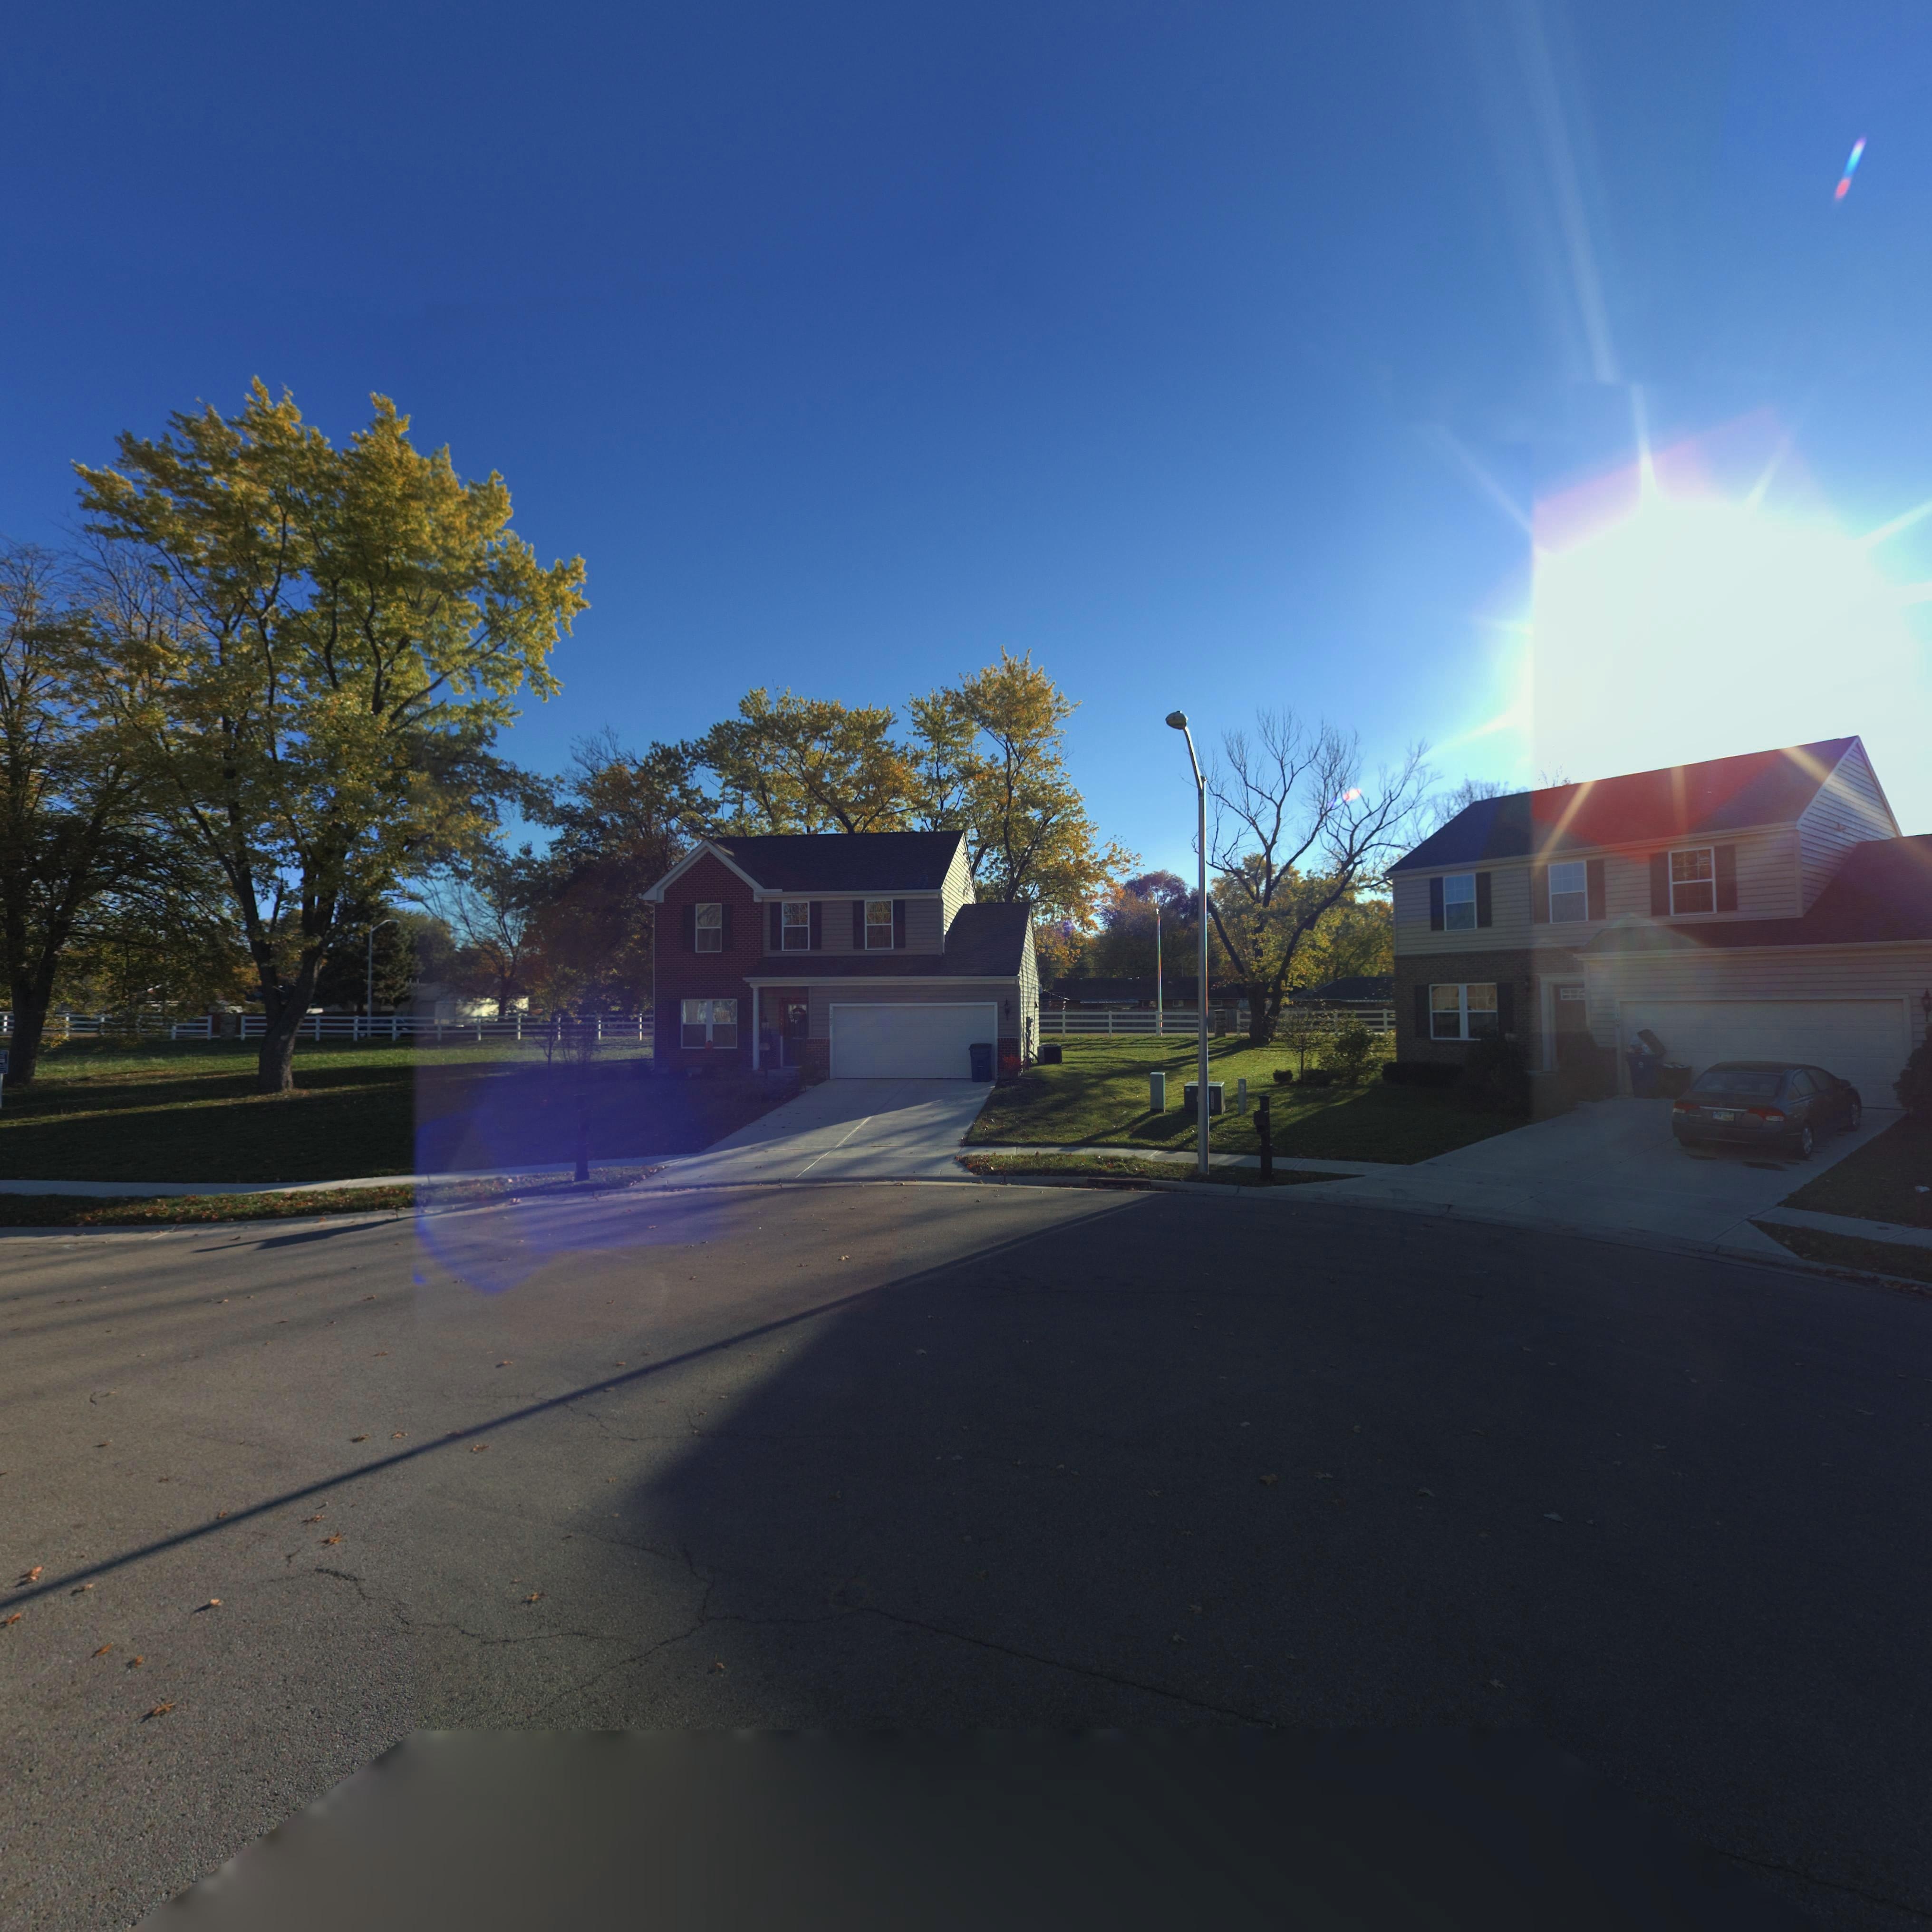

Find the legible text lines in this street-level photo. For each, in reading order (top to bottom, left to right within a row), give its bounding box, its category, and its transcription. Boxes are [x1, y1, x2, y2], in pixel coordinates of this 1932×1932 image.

[829, 1009, 833, 1026] StreetNumber: 1107
[1615, 1006, 1620, 1029] StreetNumber: *109